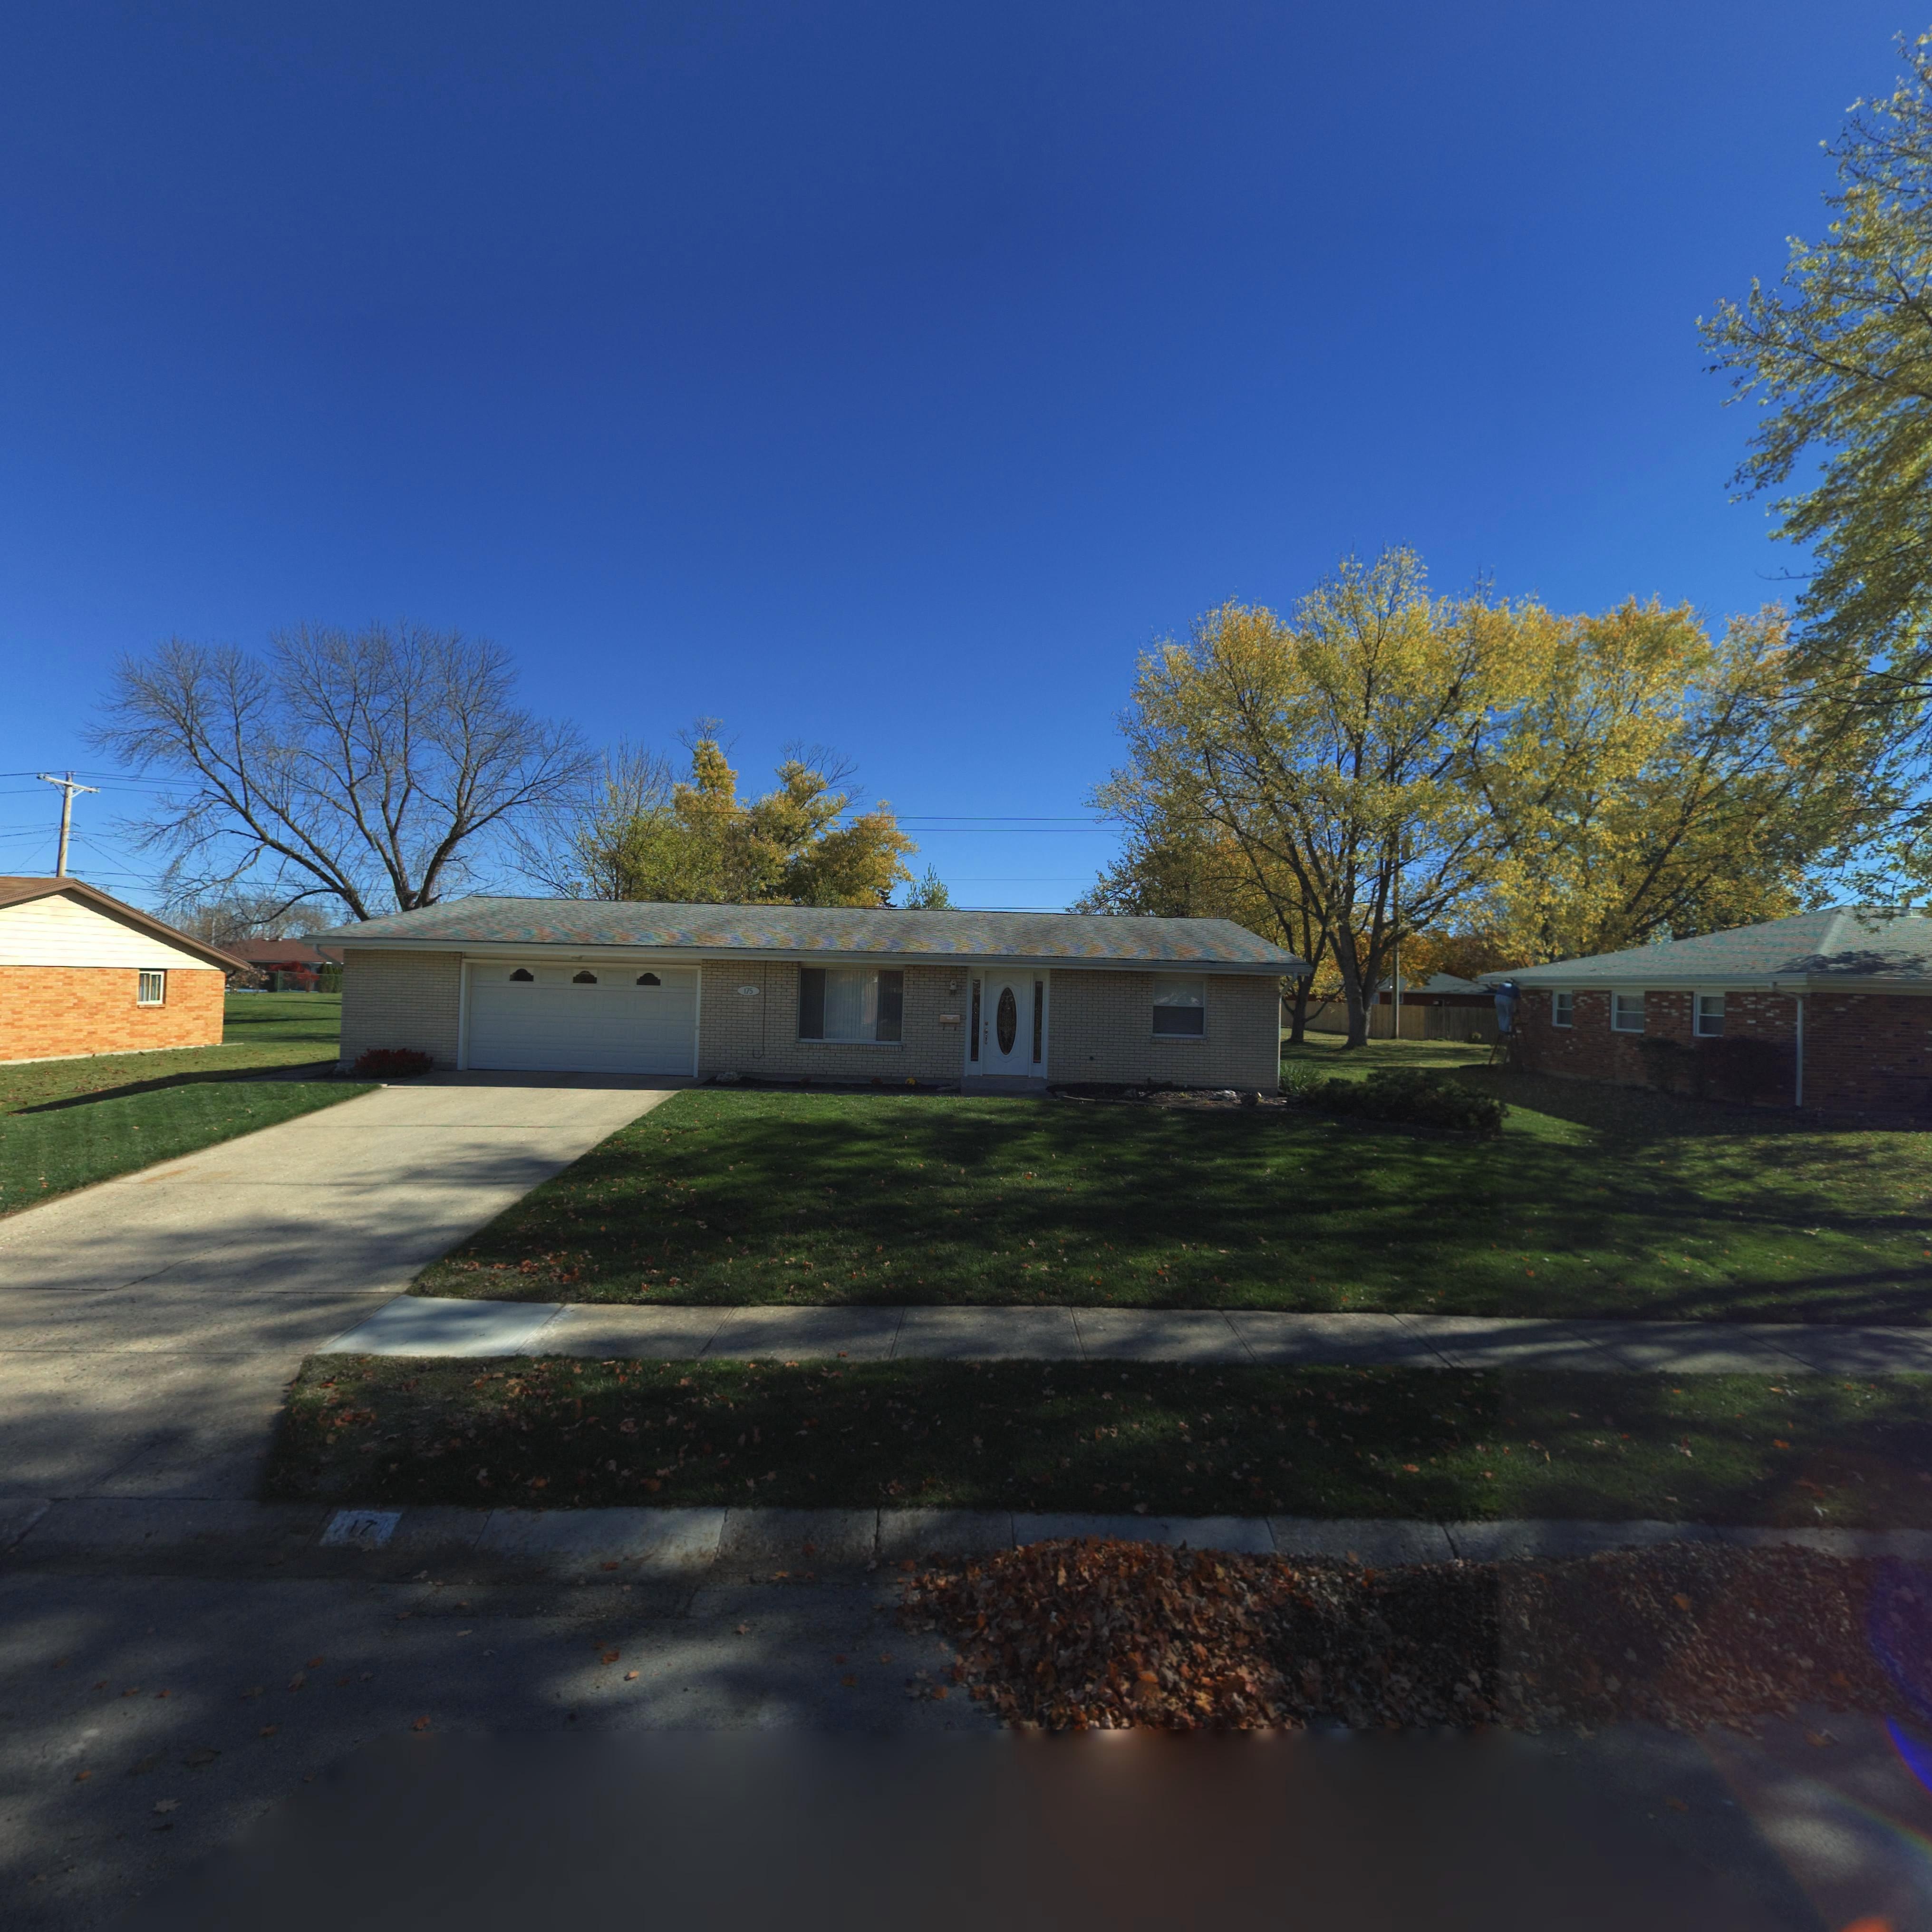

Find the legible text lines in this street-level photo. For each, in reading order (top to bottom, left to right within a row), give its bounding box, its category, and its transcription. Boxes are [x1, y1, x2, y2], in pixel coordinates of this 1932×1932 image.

[743, 987, 754, 995] StreetNumber: 175
[348, 1518, 377, 1536] StreetNumber: 17